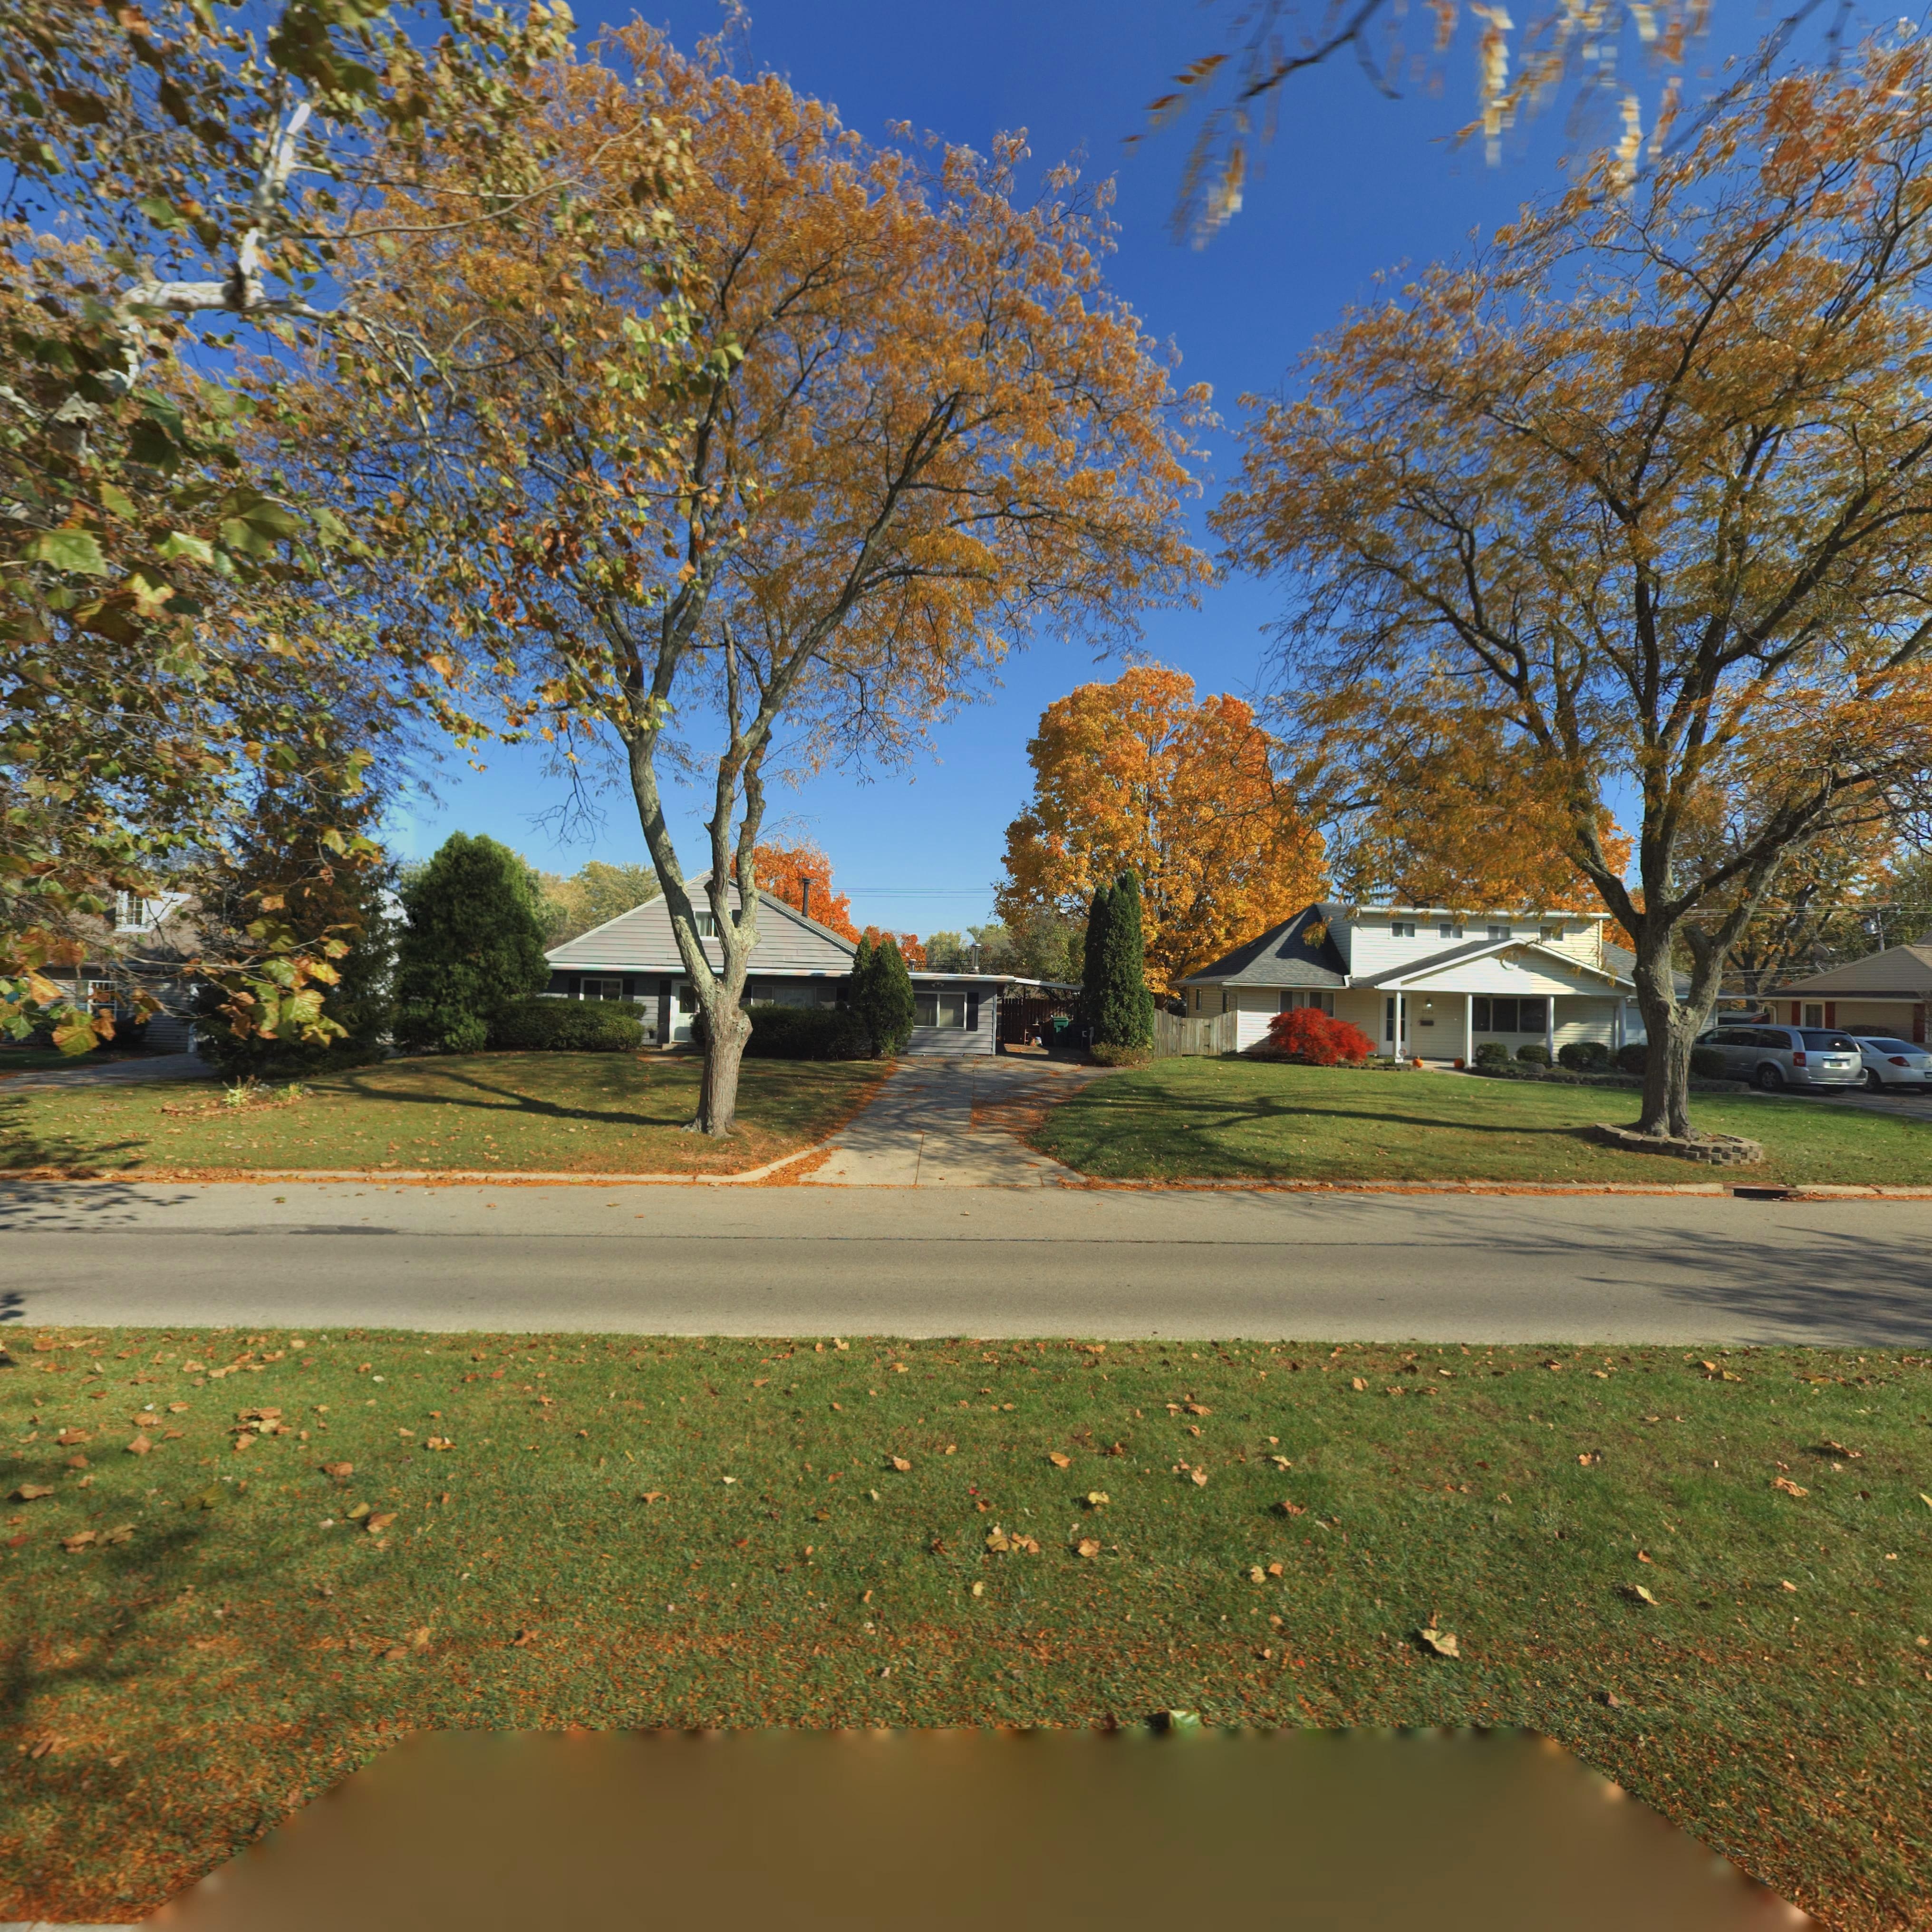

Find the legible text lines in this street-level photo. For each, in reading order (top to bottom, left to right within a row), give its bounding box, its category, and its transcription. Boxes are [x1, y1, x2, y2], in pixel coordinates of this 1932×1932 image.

[1421, 1009, 1434, 1014] StreetNumber: 3724